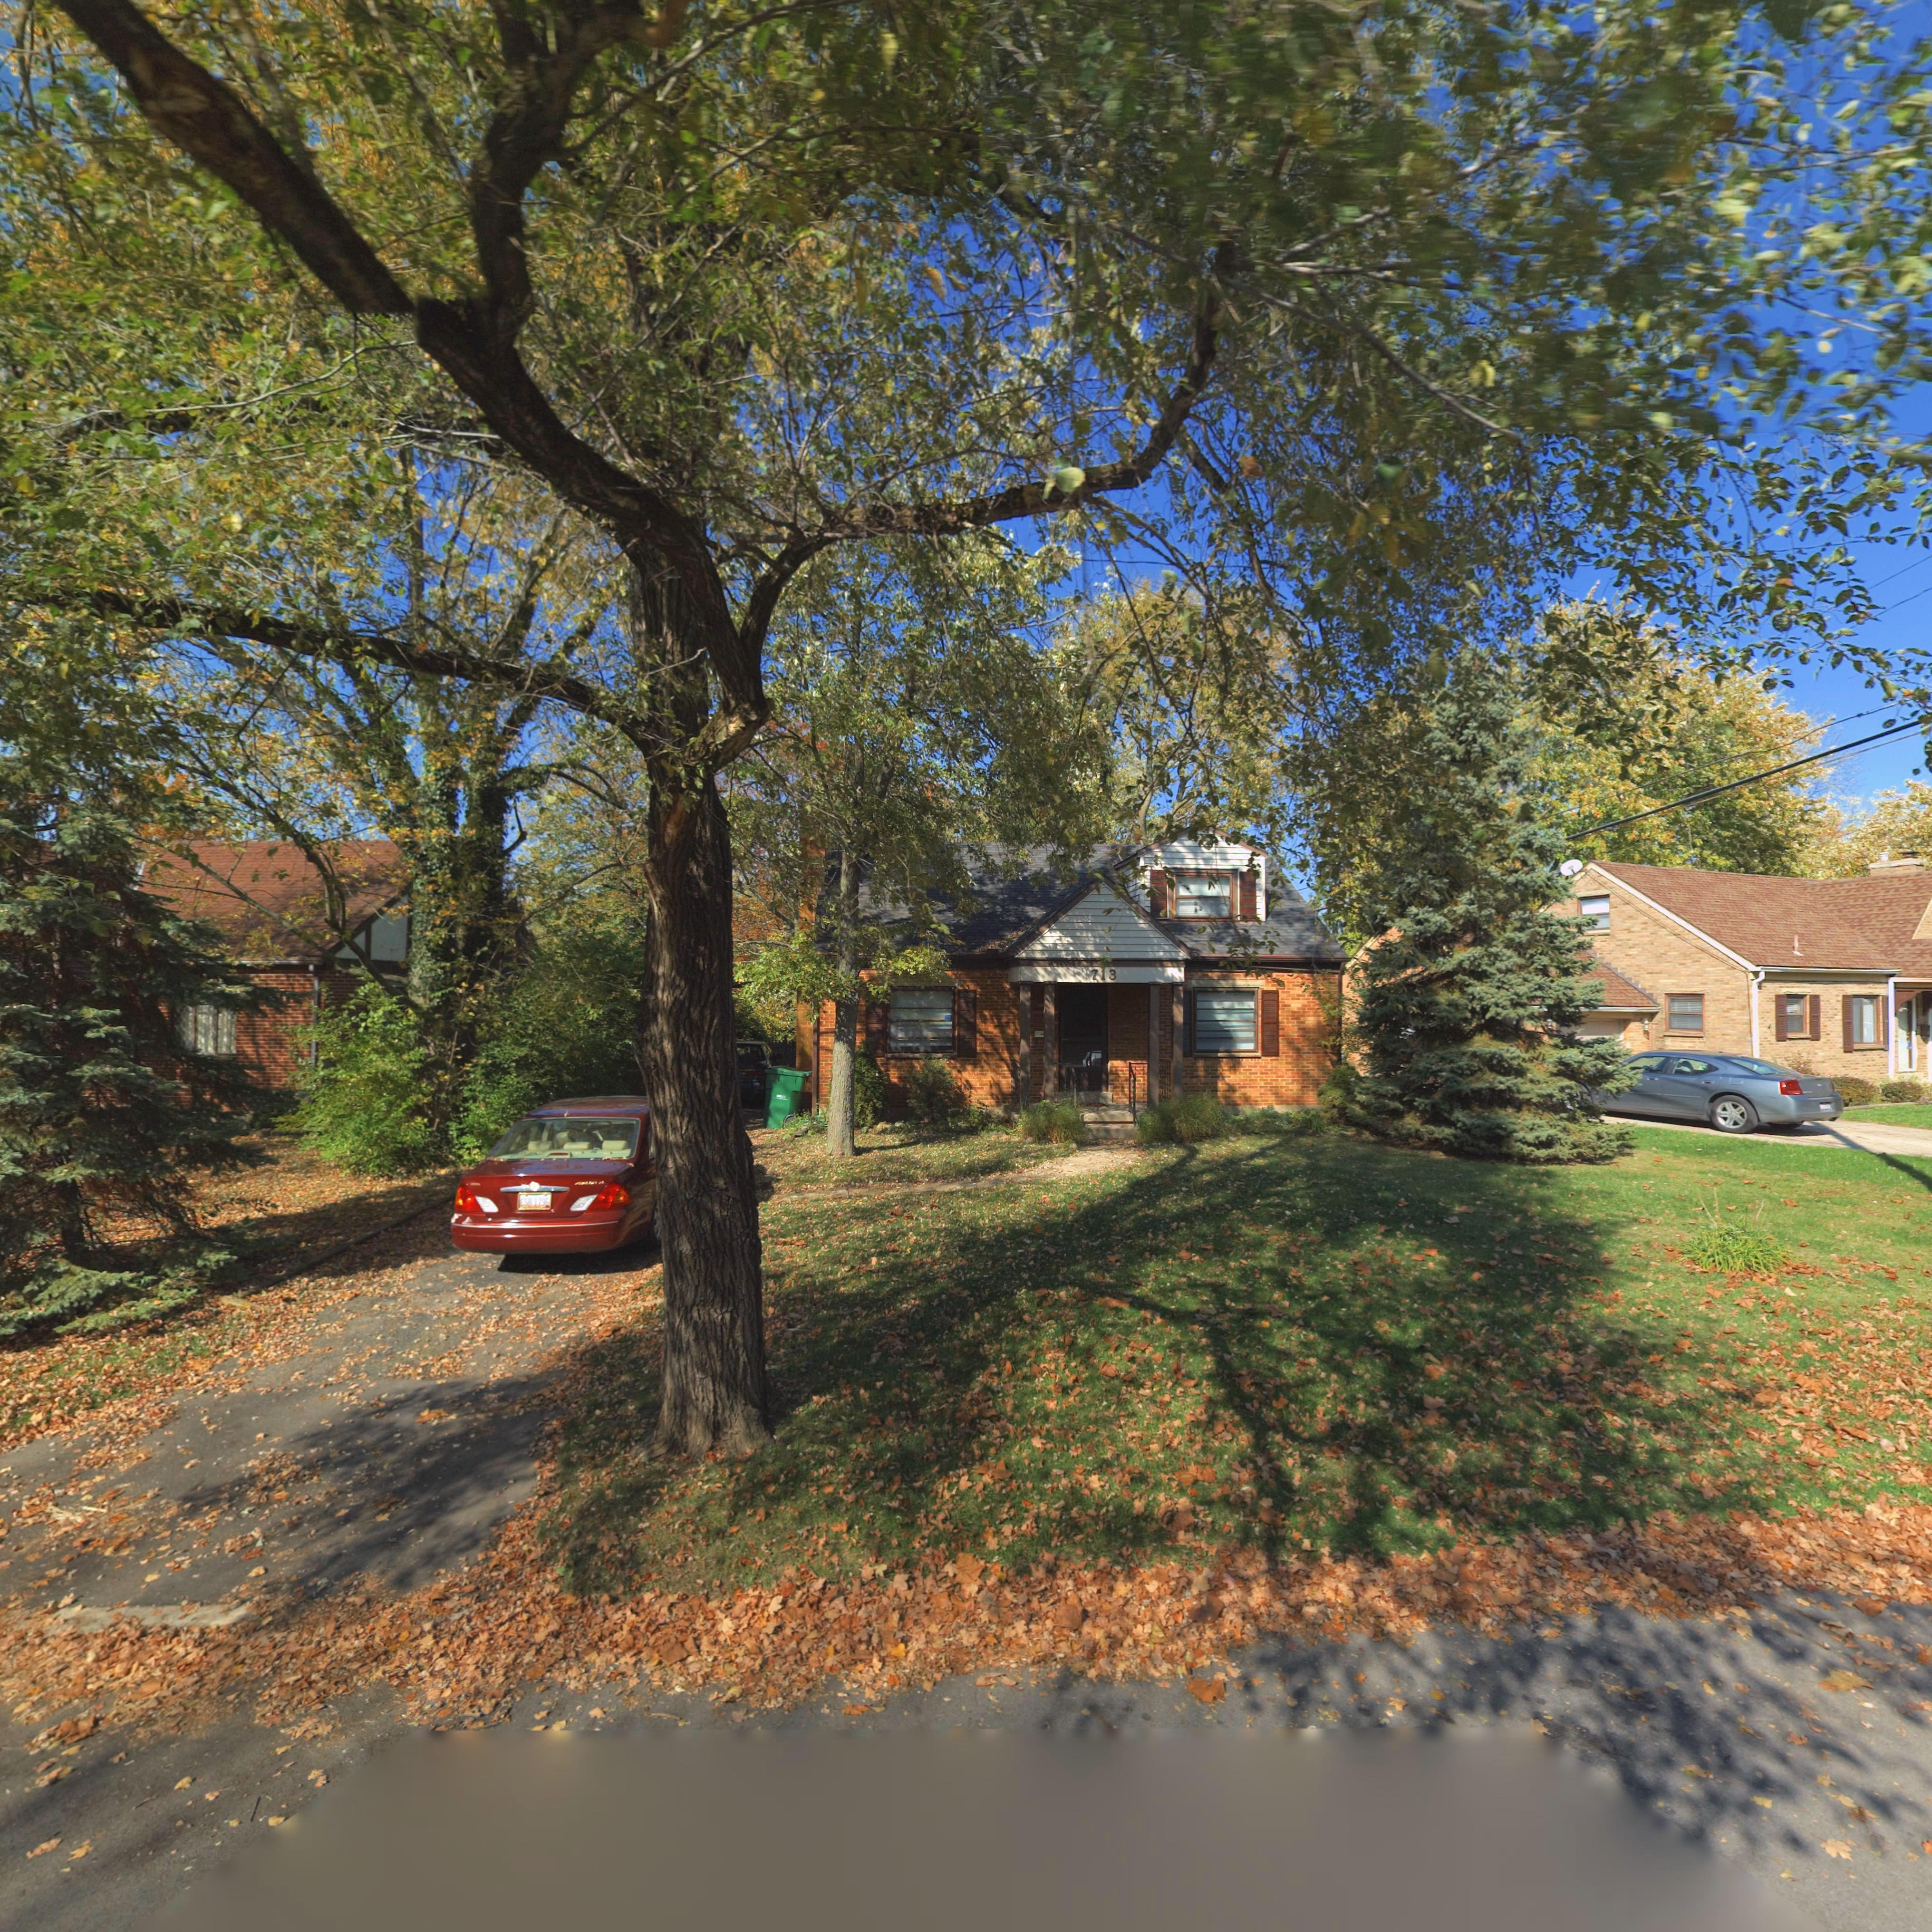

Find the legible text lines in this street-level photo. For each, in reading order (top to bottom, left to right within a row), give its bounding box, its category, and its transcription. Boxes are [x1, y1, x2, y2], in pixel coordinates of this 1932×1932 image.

[1090, 968, 1118, 981] StreetNumber: 713
[519, 1197, 550, 1207] None: CSB 1796